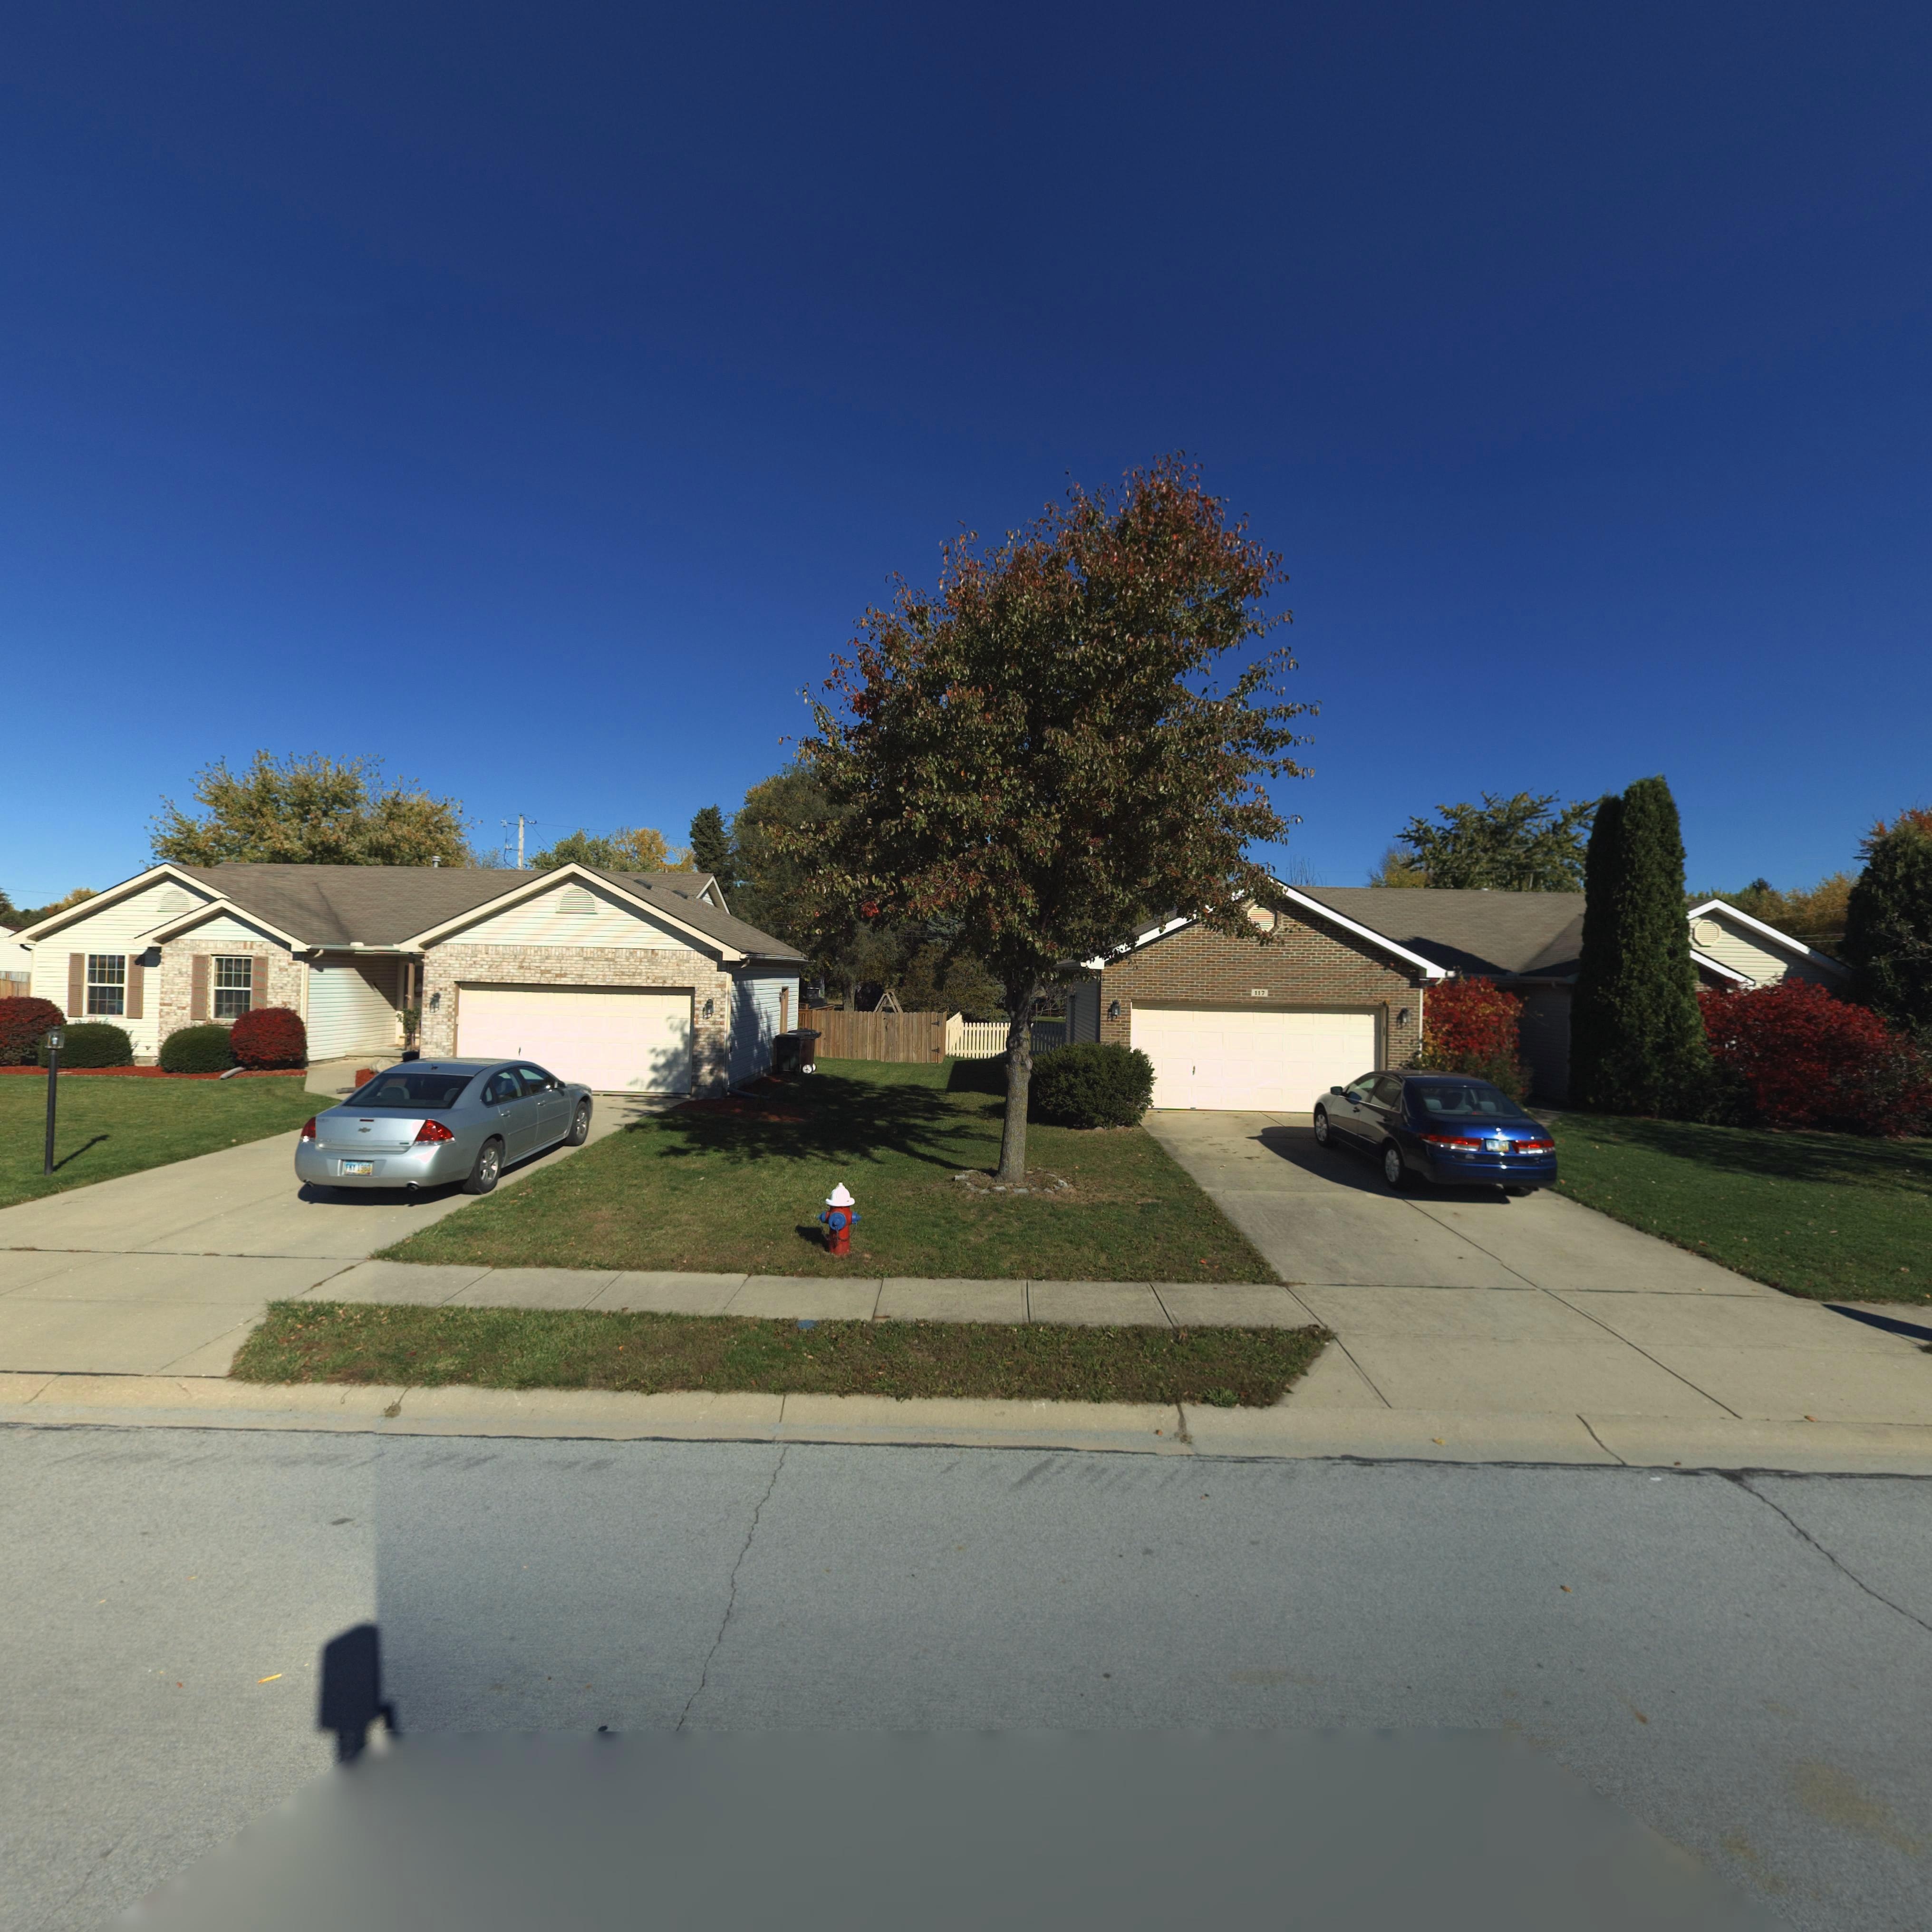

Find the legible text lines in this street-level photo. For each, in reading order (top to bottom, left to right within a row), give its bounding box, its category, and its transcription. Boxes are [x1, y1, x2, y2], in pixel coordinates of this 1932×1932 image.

[1255, 990, 1265, 995] StreetNumber: 117
[345, 1162, 371, 1172] None: FKY 1980